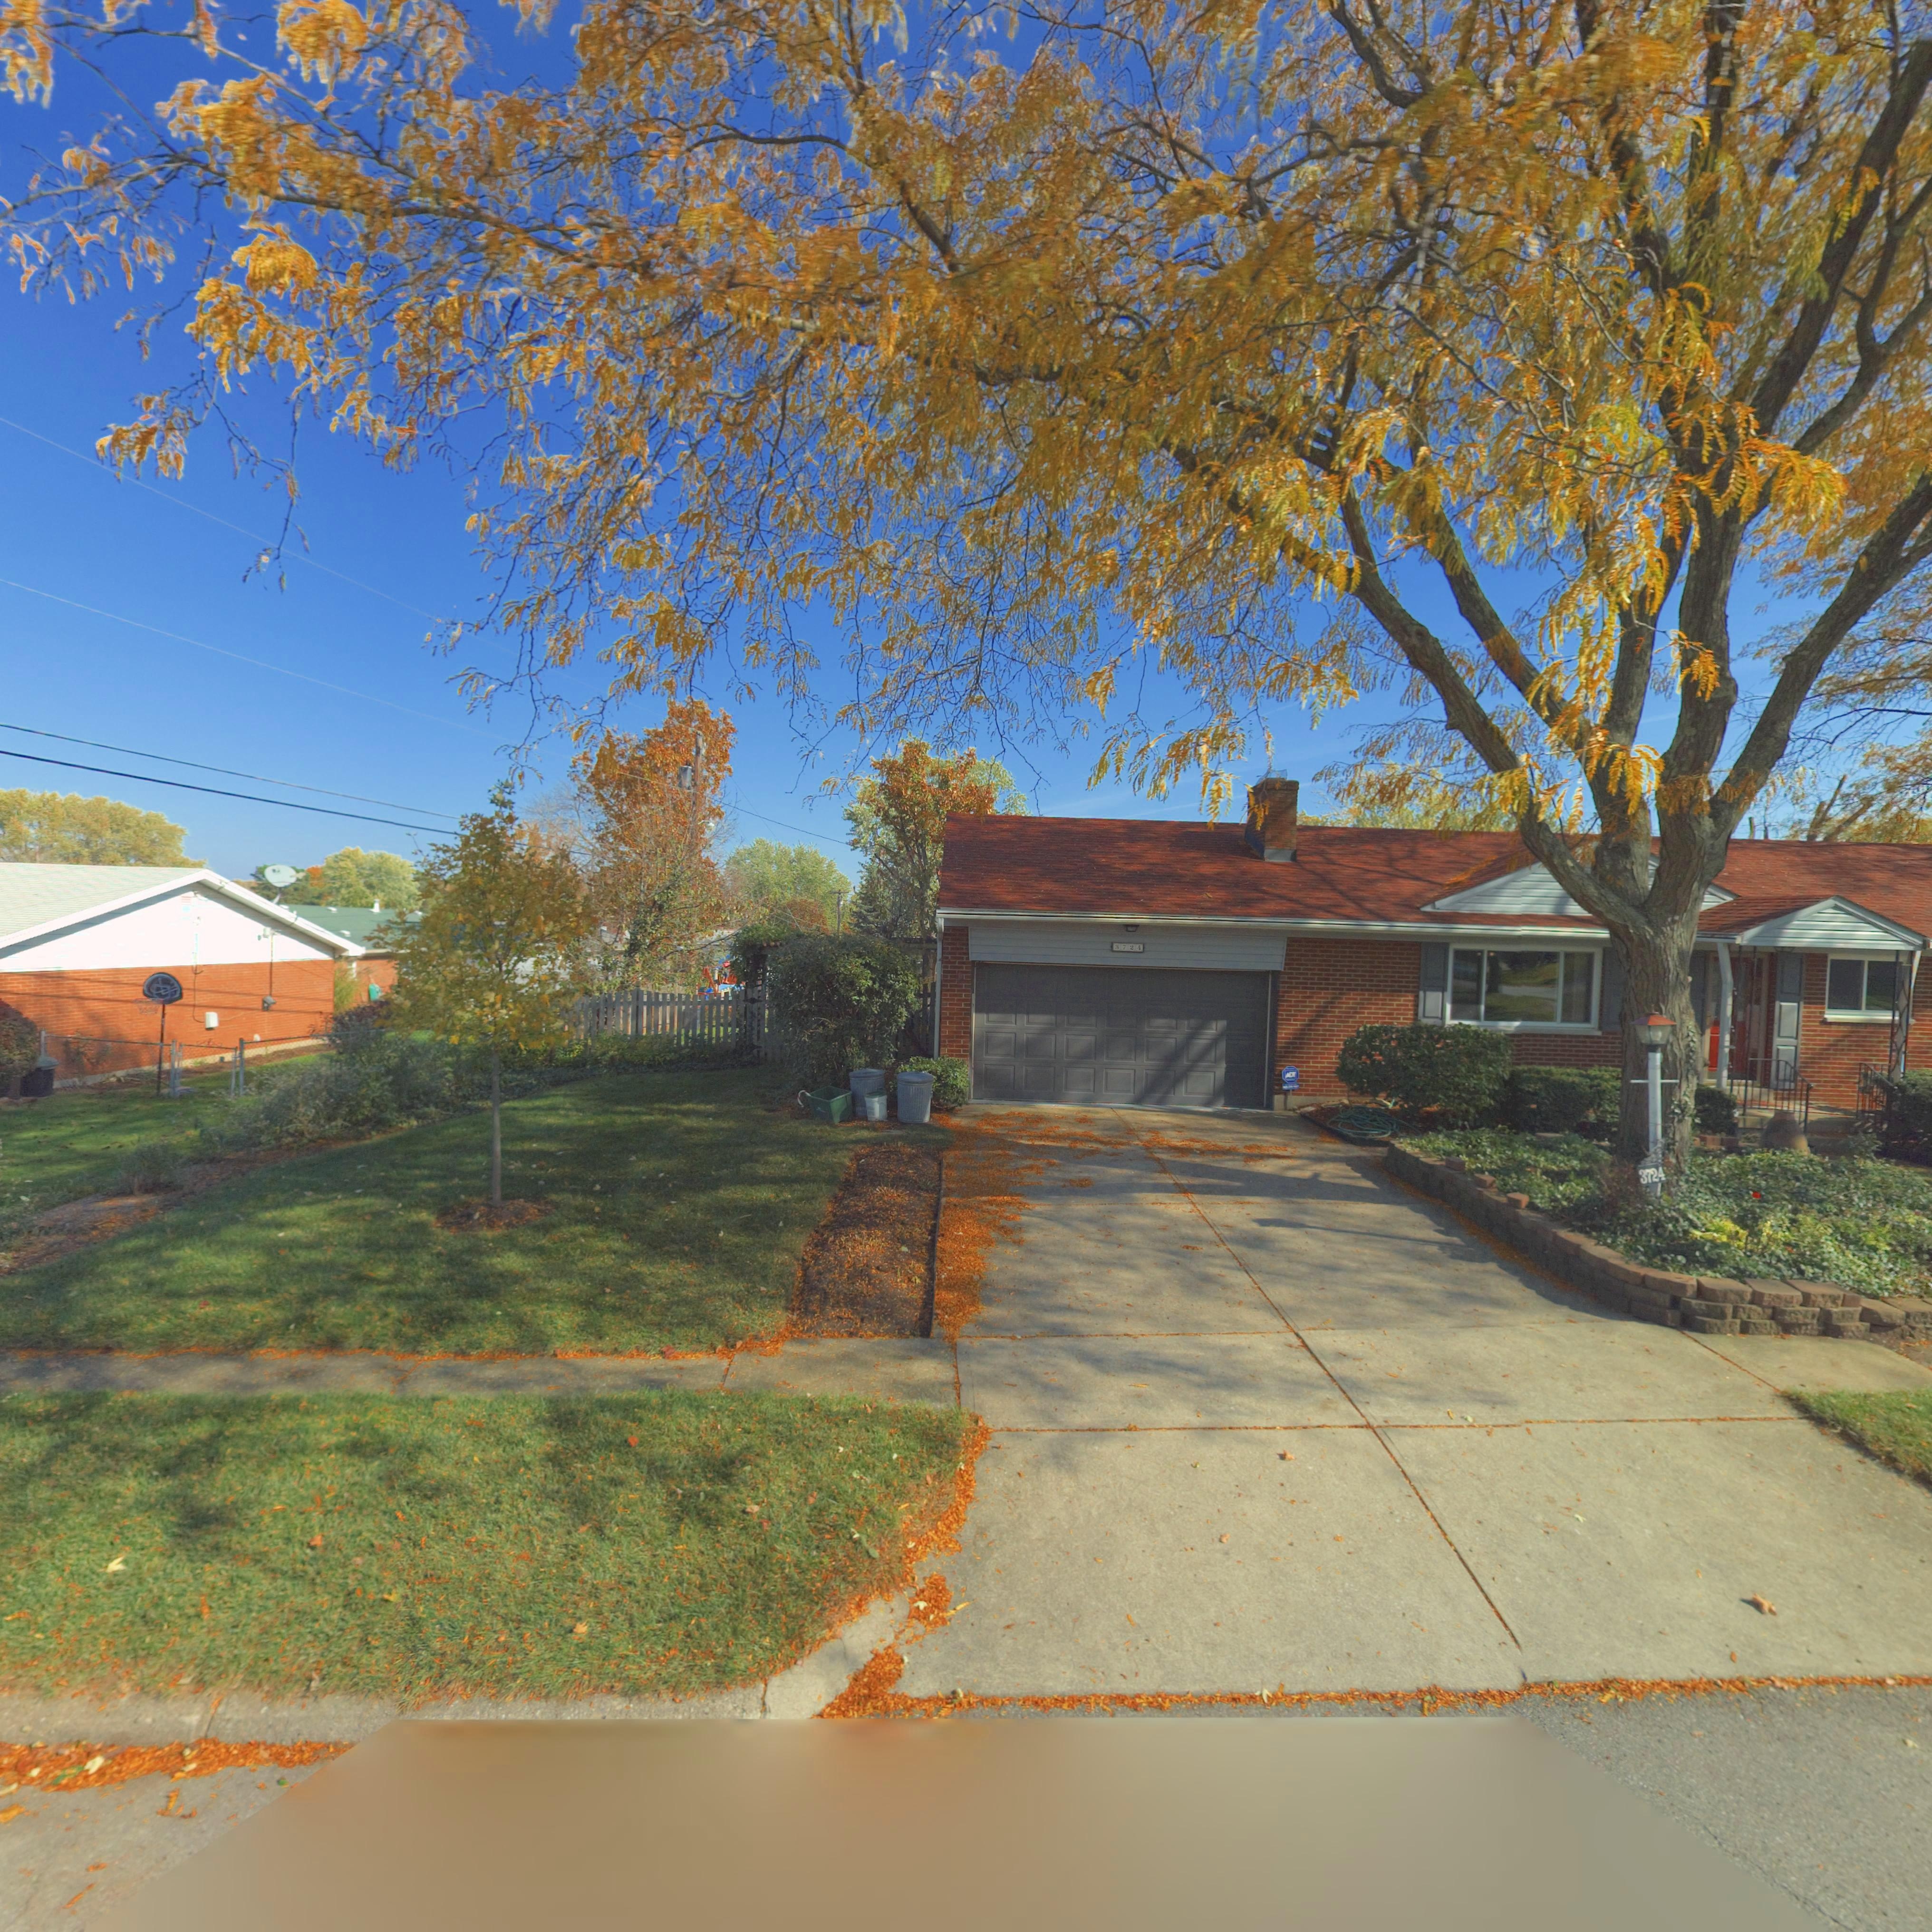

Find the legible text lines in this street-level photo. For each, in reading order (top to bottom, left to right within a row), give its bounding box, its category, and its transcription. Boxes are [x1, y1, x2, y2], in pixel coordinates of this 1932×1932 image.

[1114, 944, 1141, 951] StreetNumber: 3724
[1638, 1166, 1667, 1185] StreetNumber: 3724